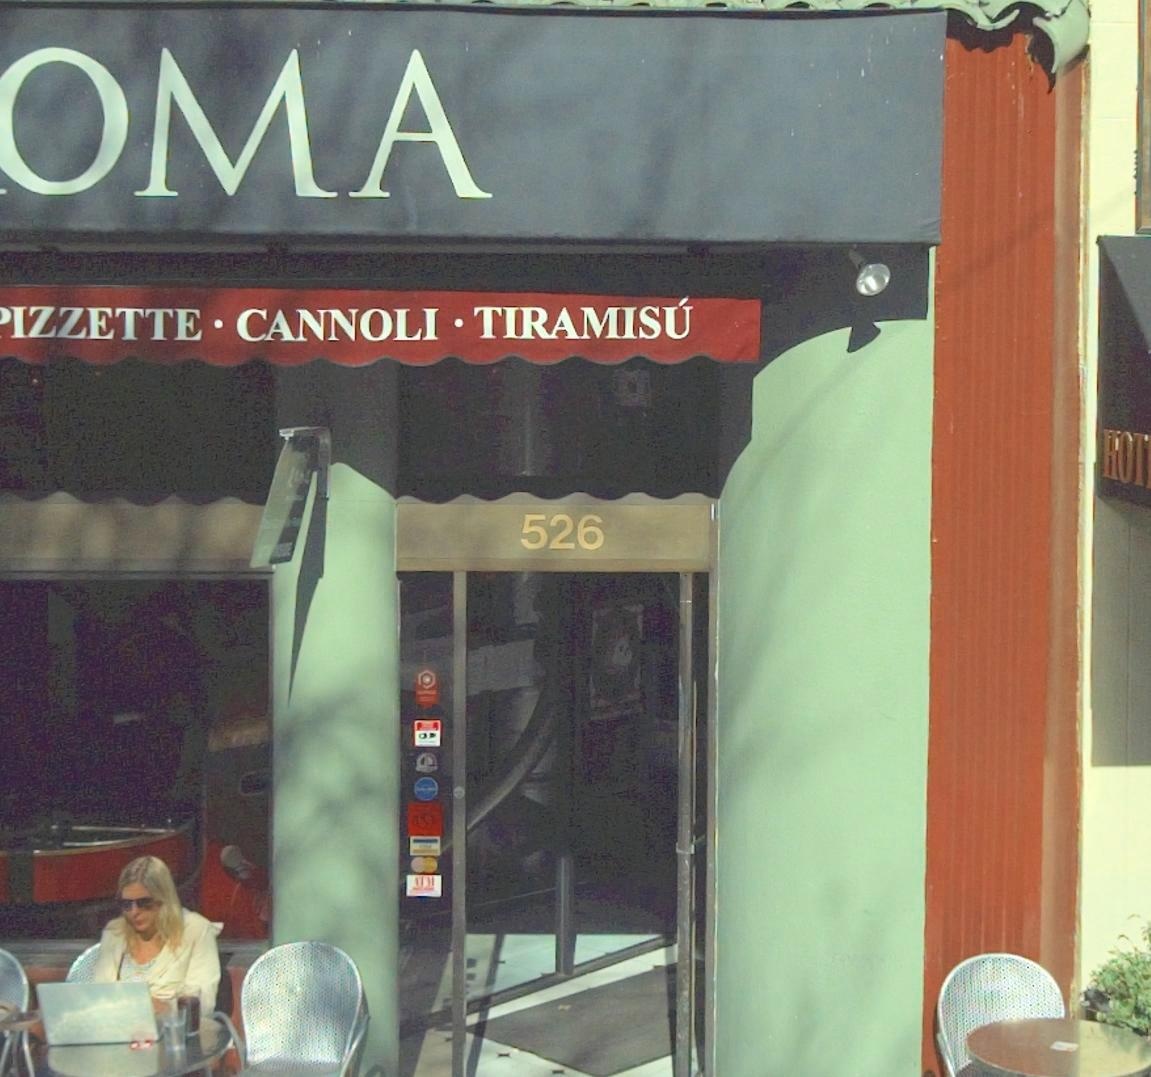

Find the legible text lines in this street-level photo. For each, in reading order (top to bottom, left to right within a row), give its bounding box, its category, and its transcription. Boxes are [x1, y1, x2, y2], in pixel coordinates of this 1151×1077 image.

[129, 40, 509, 202] None: MA
[5, 303, 696, 344] None: IZZETTE*CANNOLI*TIRAMISU
[1100, 426, 1150, 492] None: HOT
[518, 512, 606, 552] StreetNumber: 526